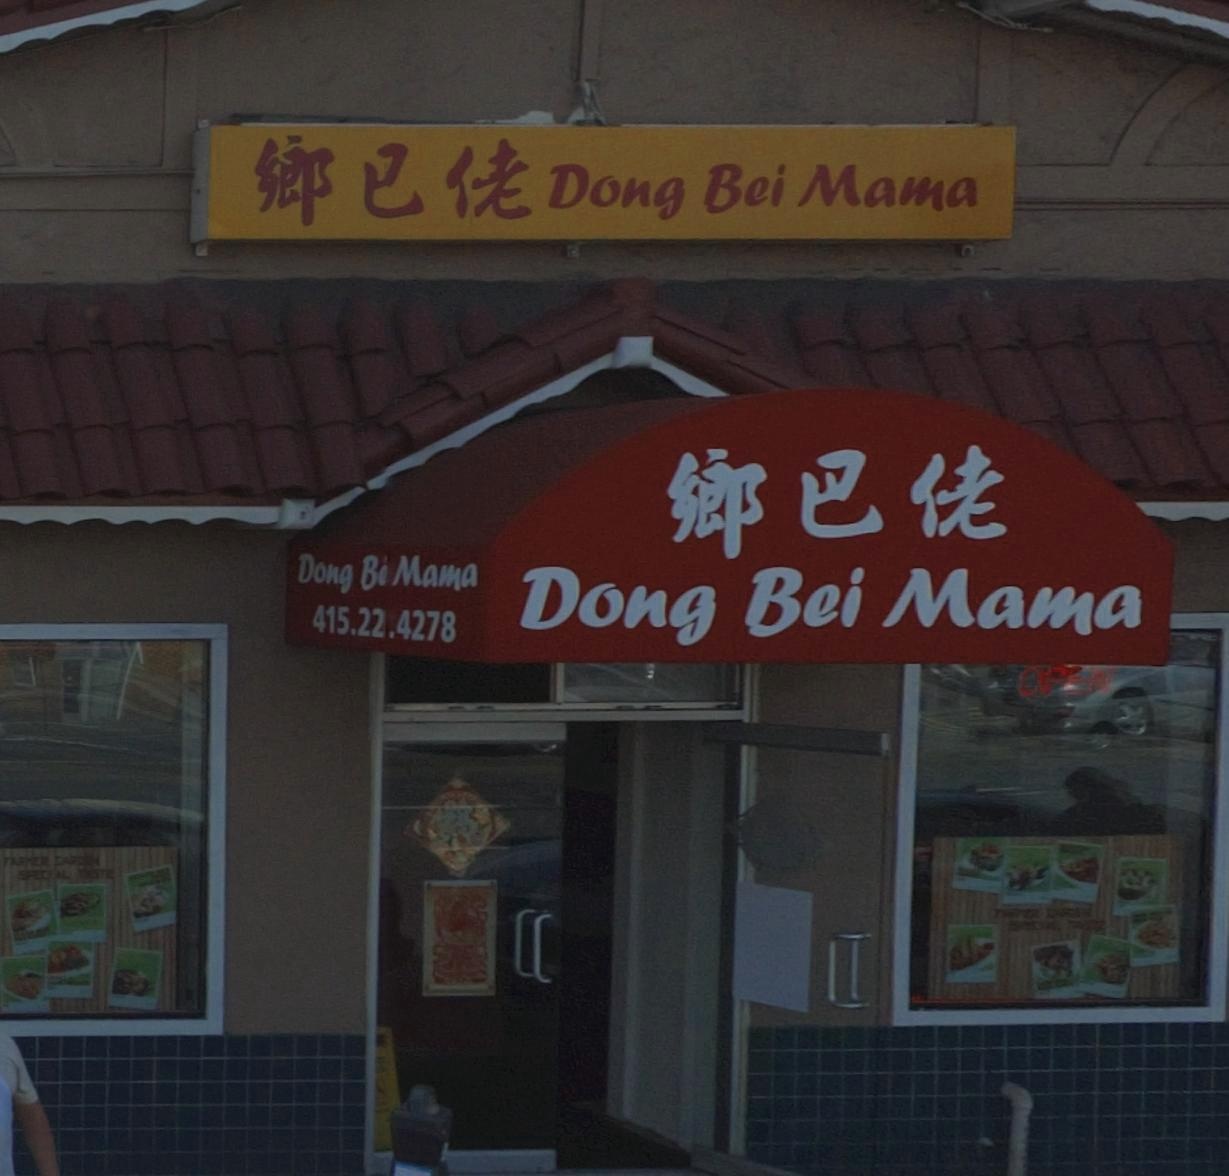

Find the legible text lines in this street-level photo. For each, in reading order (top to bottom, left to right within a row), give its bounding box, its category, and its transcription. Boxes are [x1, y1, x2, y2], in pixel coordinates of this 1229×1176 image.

[543, 159, 981, 223] BusinessName: Dong Bei Mama
[292, 549, 482, 598] BusinessName: Dong B* Mama
[303, 600, 461, 645] None: 415.22.4278
[516, 563, 1148, 649] BusinessName: Dong Bei Mama
[1014, 664, 1120, 701] None: OPEN
[13, 865, 119, 885] None: SPECIAL TASTE